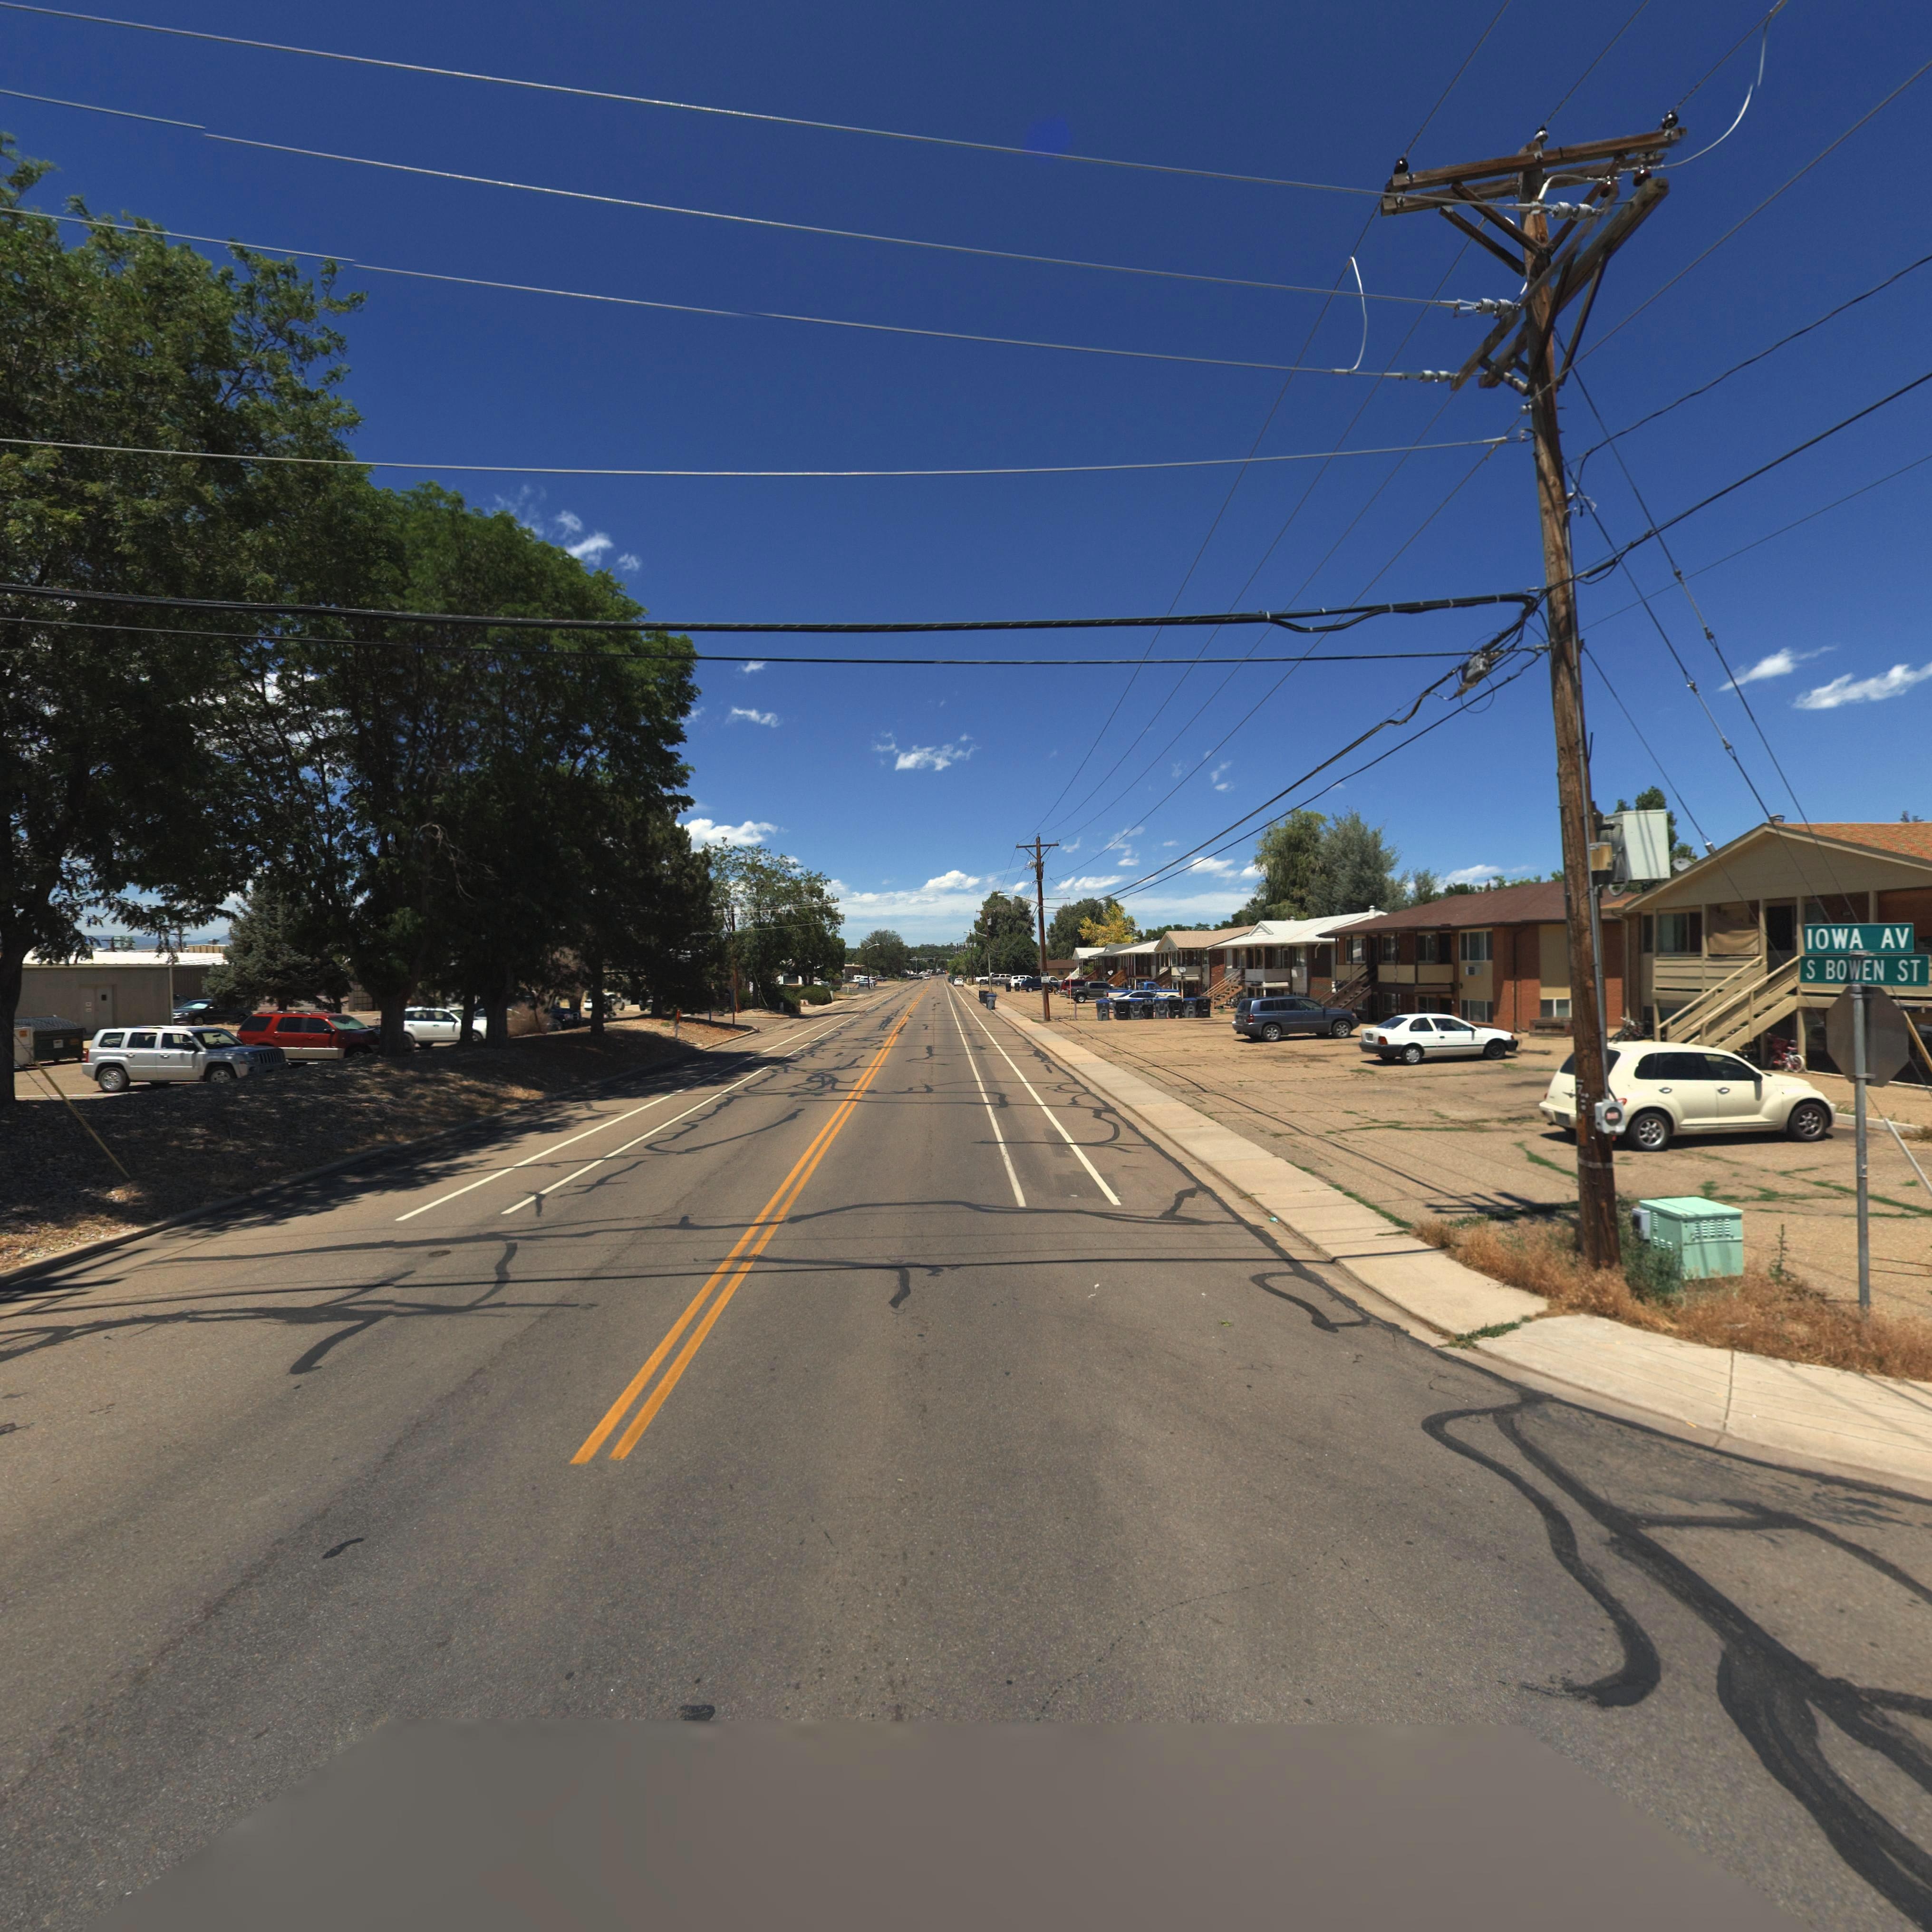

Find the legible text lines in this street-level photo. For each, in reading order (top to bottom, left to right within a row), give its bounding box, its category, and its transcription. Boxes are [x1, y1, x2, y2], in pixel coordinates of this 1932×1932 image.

[1806, 927, 1909, 949] StreetName: IOWA AV
[1805, 959, 1921, 982] StreetName: S BOWEN ST